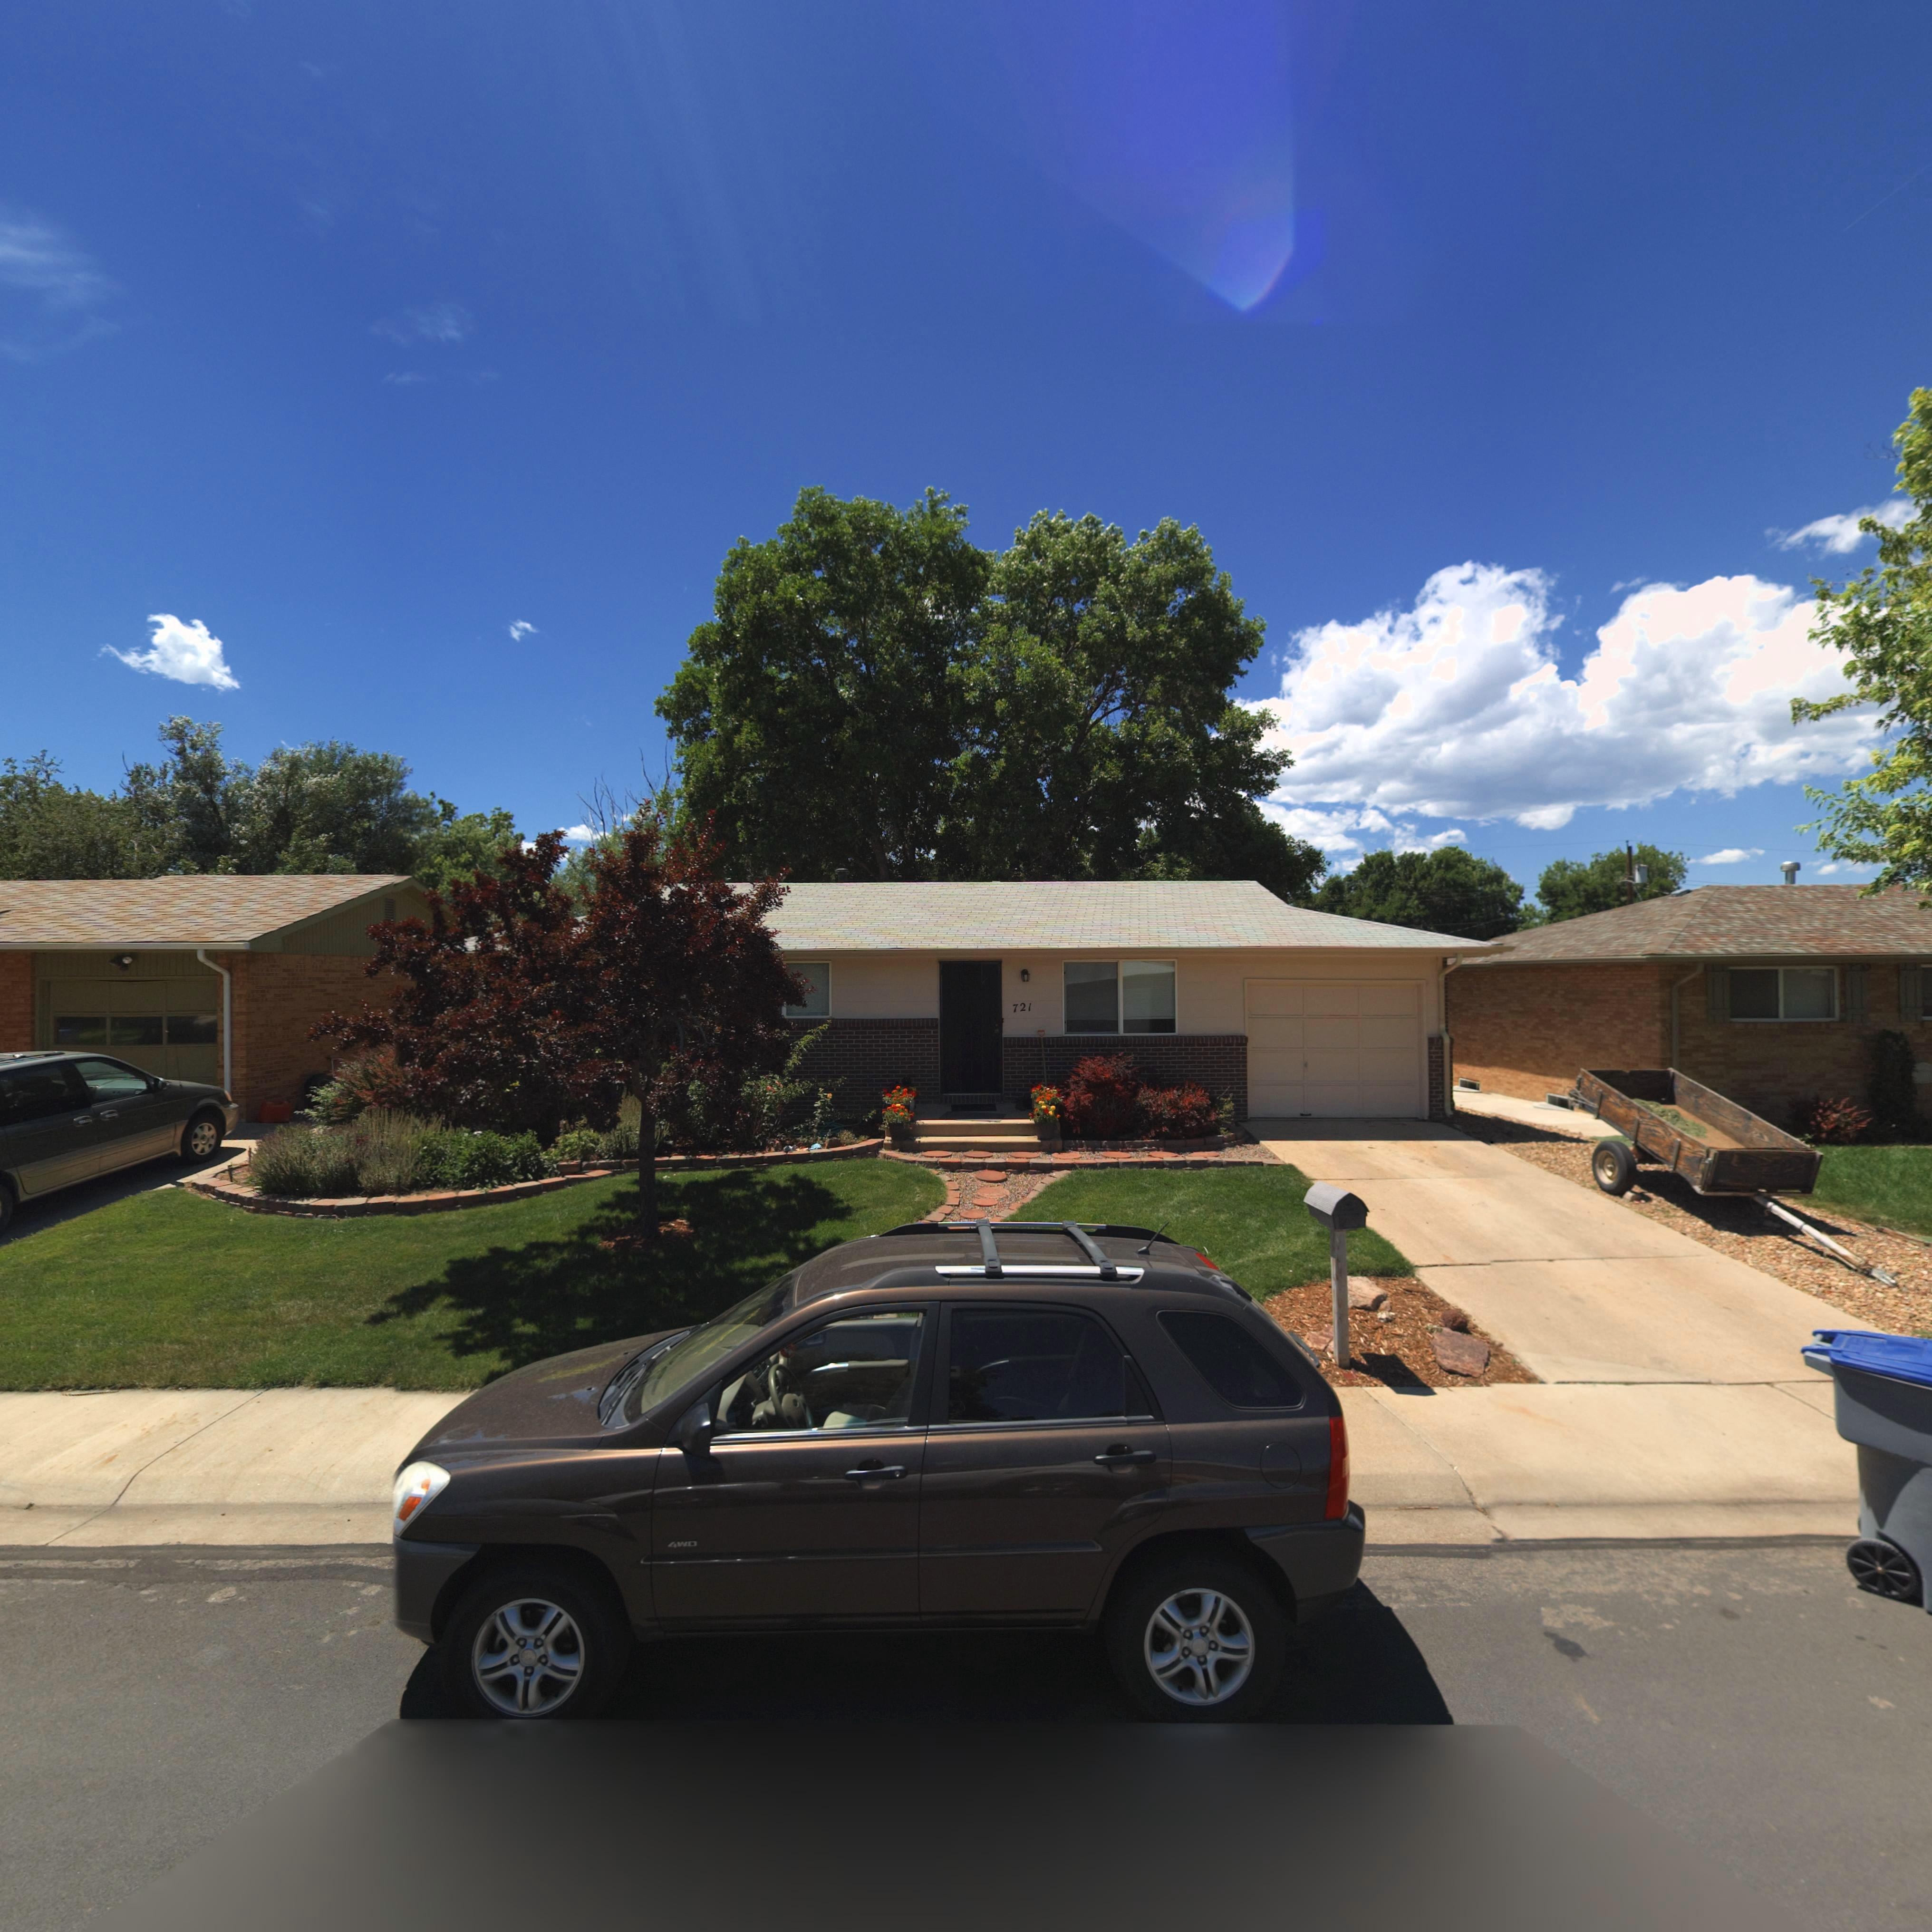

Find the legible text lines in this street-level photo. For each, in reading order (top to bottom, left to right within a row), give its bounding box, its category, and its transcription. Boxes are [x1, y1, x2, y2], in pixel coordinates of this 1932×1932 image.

[1012, 1002, 1032, 1013] StreetNumber: 721